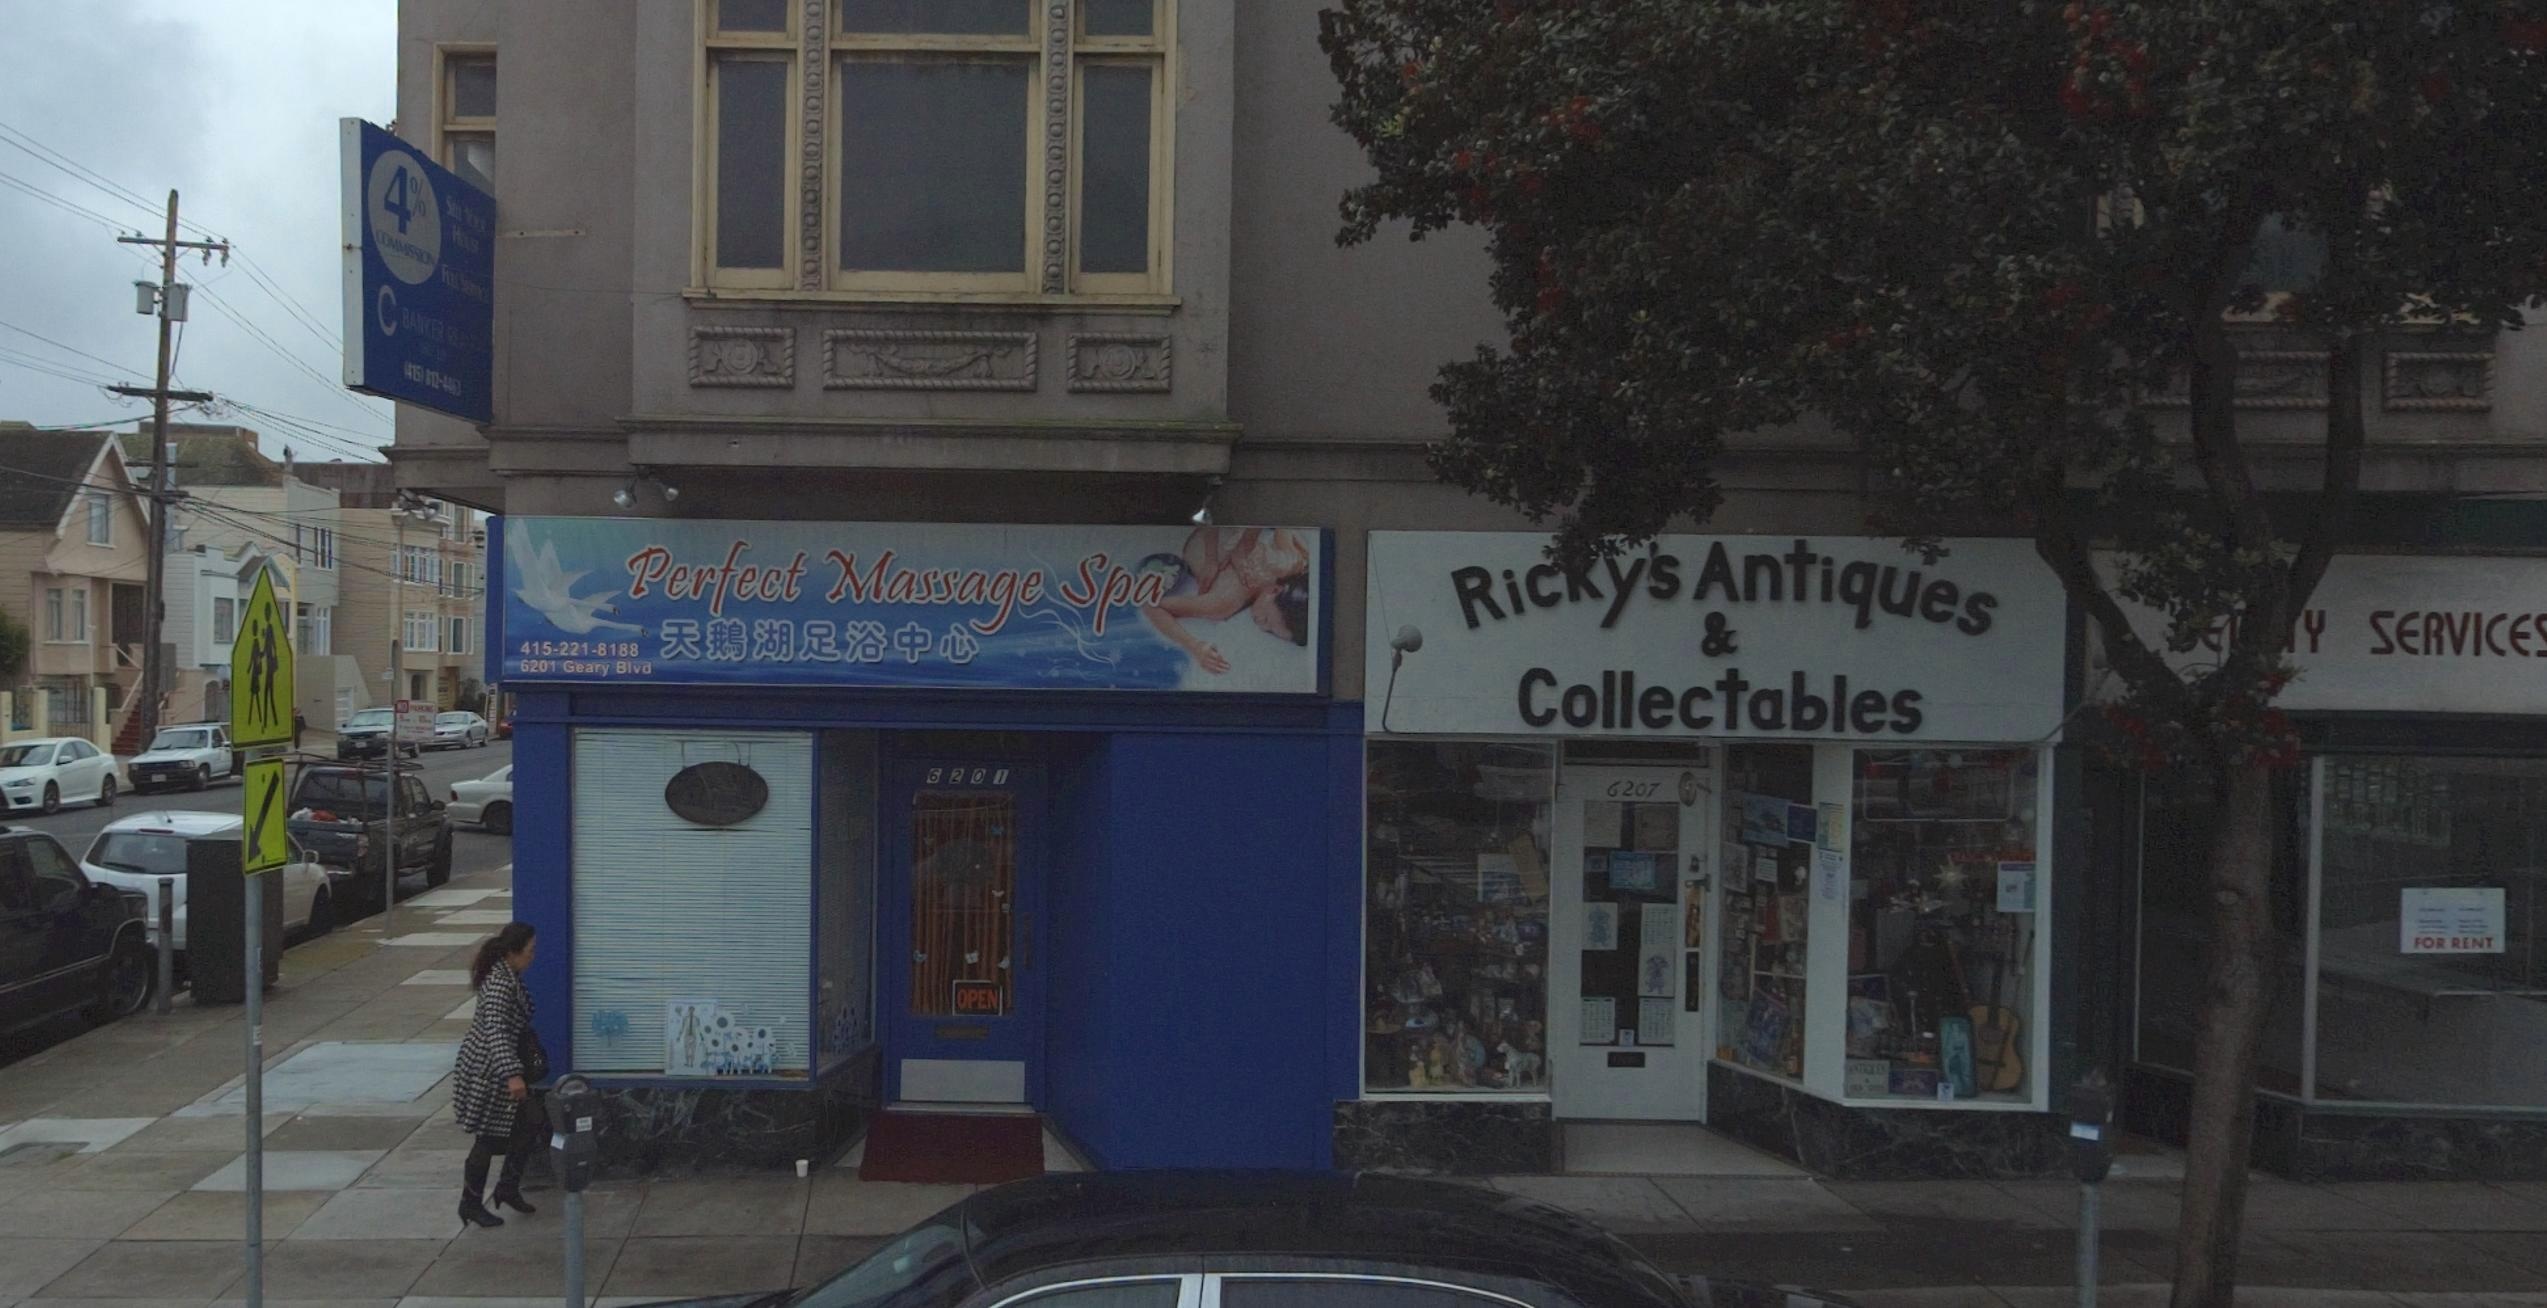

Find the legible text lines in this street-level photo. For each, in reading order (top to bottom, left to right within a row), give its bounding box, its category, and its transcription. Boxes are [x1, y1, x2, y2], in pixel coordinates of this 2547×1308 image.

[378, 159, 415, 240] None: 4
[375, 221, 441, 272] None: COMMISSION
[374, 275, 400, 342] None: C
[399, 302, 447, 348] None: BANKER
[397, 357, 464, 401] None: (415) 812-4***
[622, 538, 1166, 638] BusinessName: Perfect Massage Spa
[1451, 535, 2010, 646] BusinessName: Ricky's Antiques
[516, 655, 560, 675] StreetNumber: 6201
[516, 637, 643, 660] None: 415-221-8188
[556, 658, 653, 680] StreetName: Geary Blvd
[2304, 604, 2534, 662] BusinessName: Y SERVICE
[1505, 658, 1932, 738] BusinessName: Collectables
[926, 766, 1011, 786] StreetNumber: 6201
[1603, 775, 1662, 801] StreetNumber: 6207
[2411, 933, 2500, 955] None: FOR RENT
[956, 986, 1000, 1013] None: OPEN